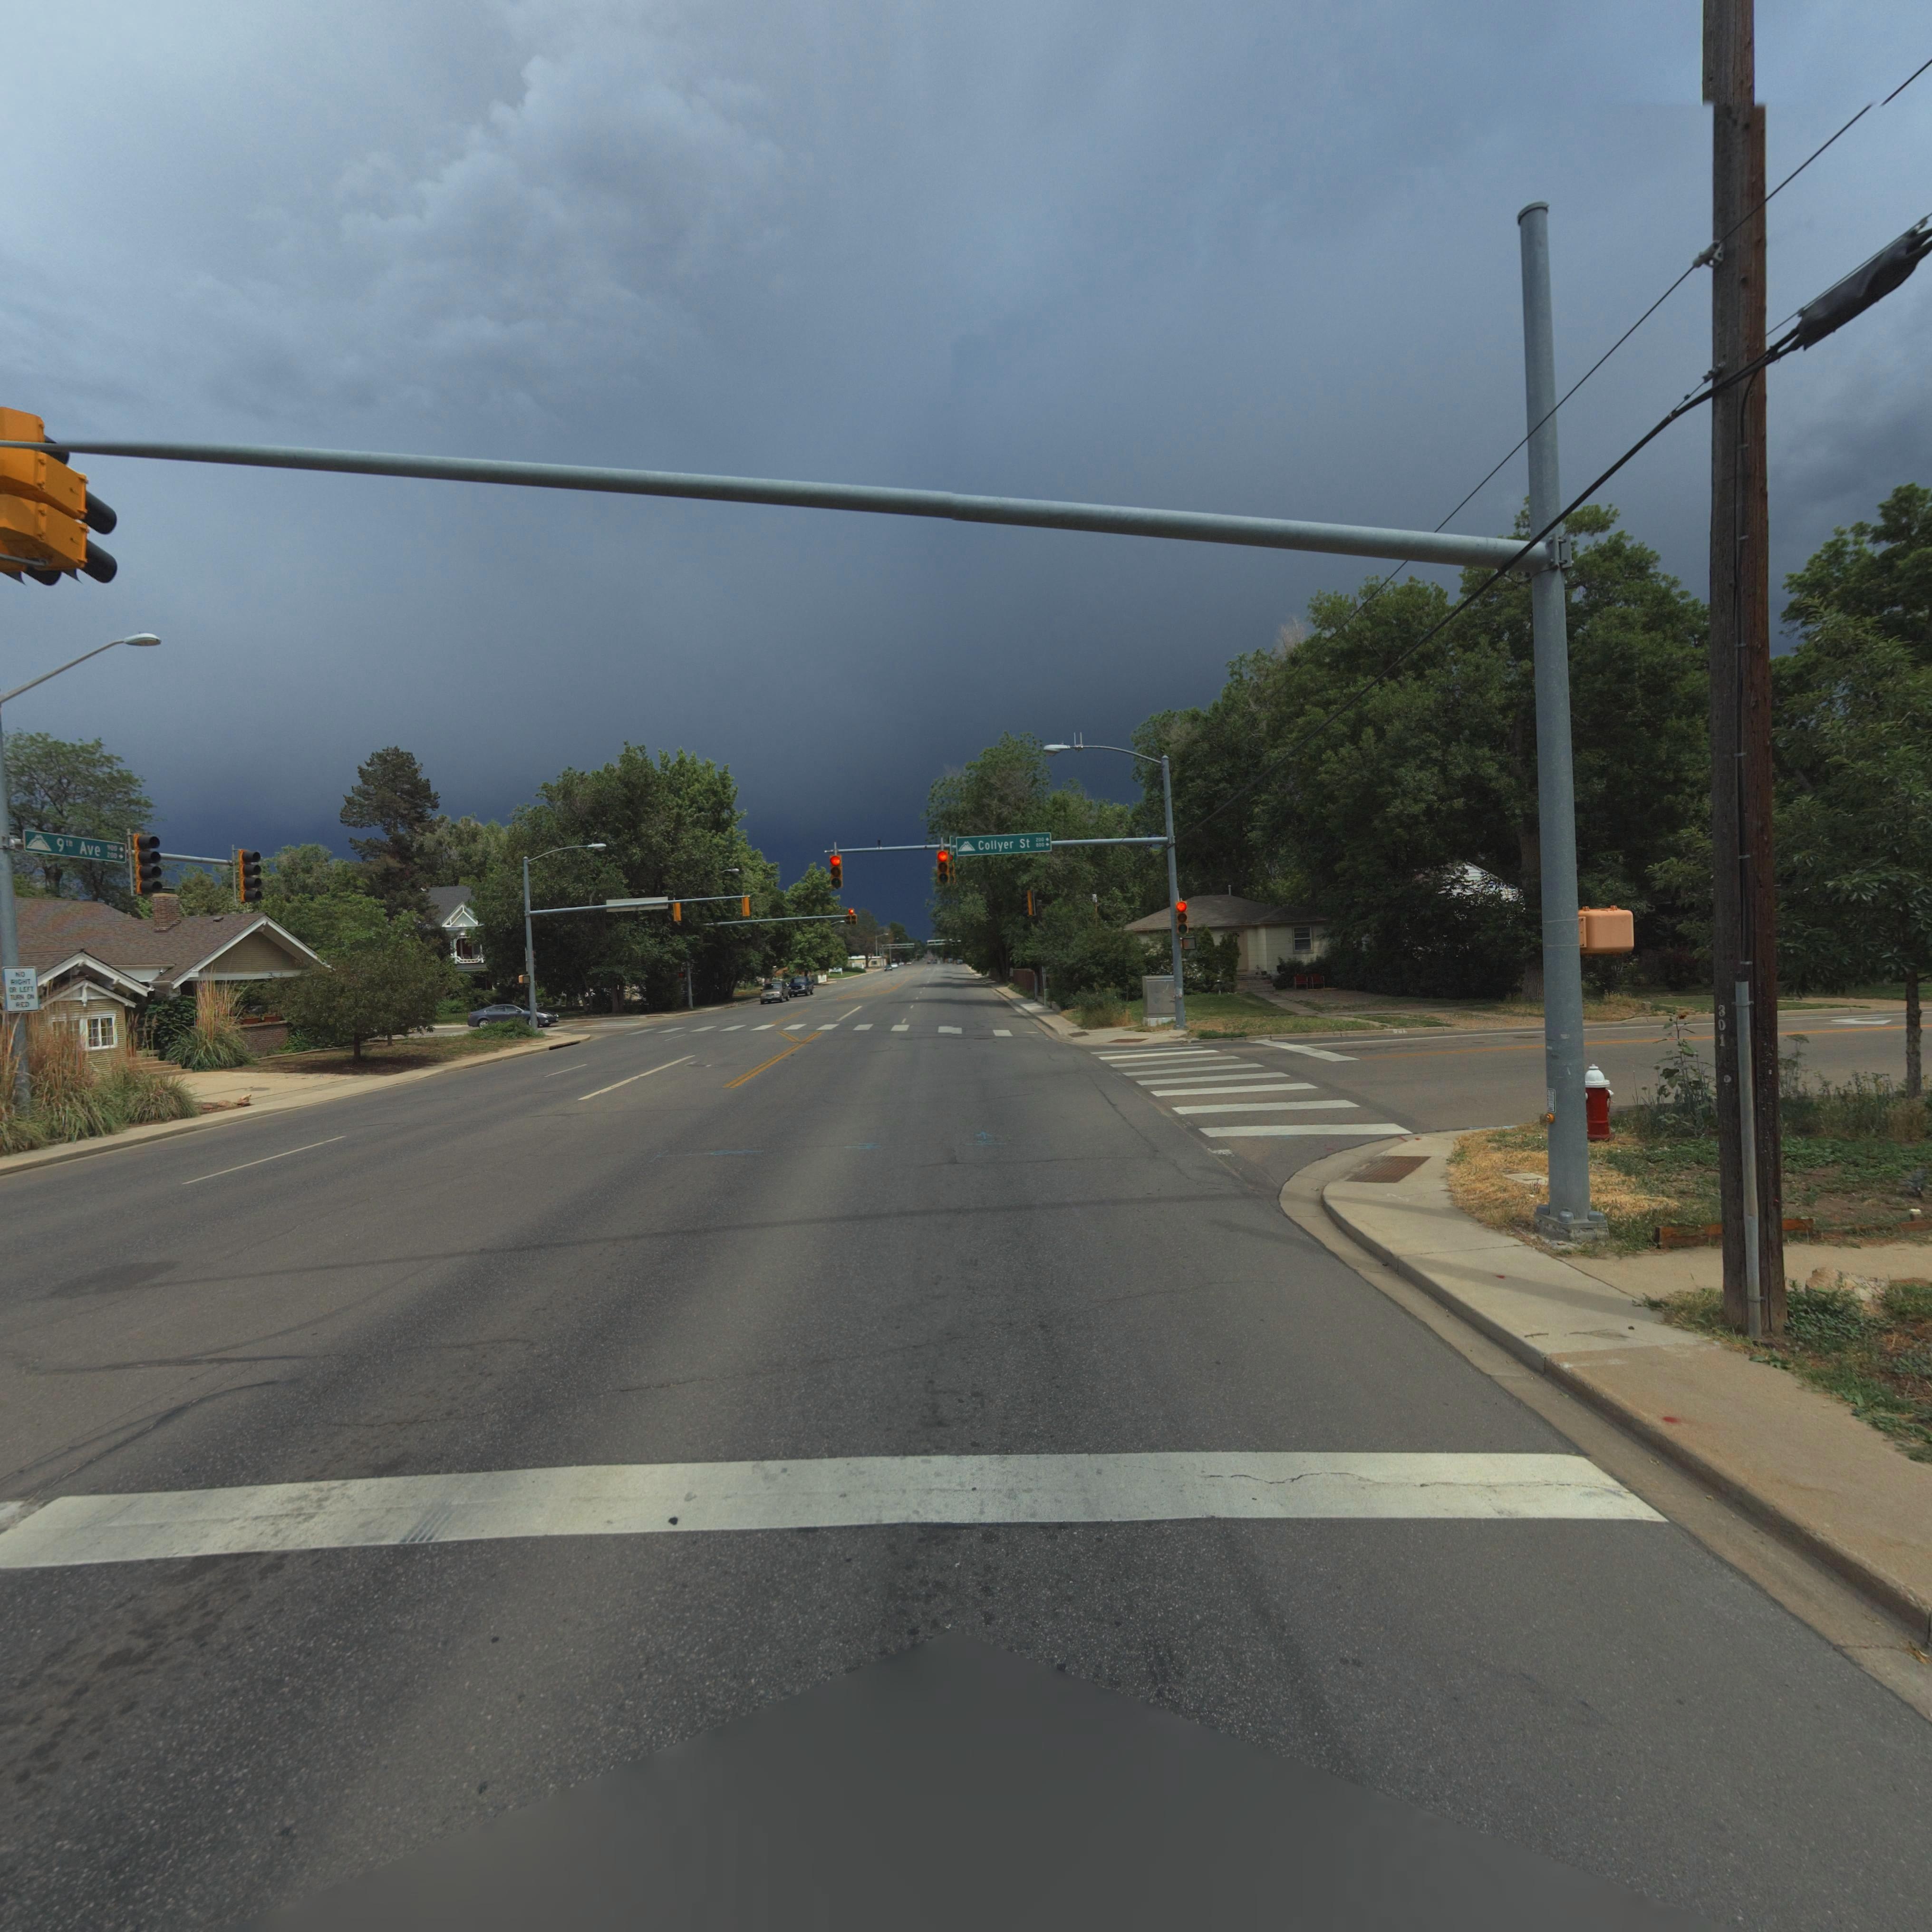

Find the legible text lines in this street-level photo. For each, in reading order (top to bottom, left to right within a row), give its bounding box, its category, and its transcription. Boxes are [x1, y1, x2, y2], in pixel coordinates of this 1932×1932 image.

[1035, 837, 1044, 842] StreetNumberRange: 200
[56, 837, 101, 857] StreetName: 9th Ave
[106, 843, 118, 851] None: 900->
[977, 838, 1030, 852] StreetName: Collyer St
[1035, 842, 1050, 847] StreetNumberRange: 800->
[106, 851, 124, 859] StreetNumberRange: *00->
[1718, 1004, 1726, 1046] StreetNumber: 301